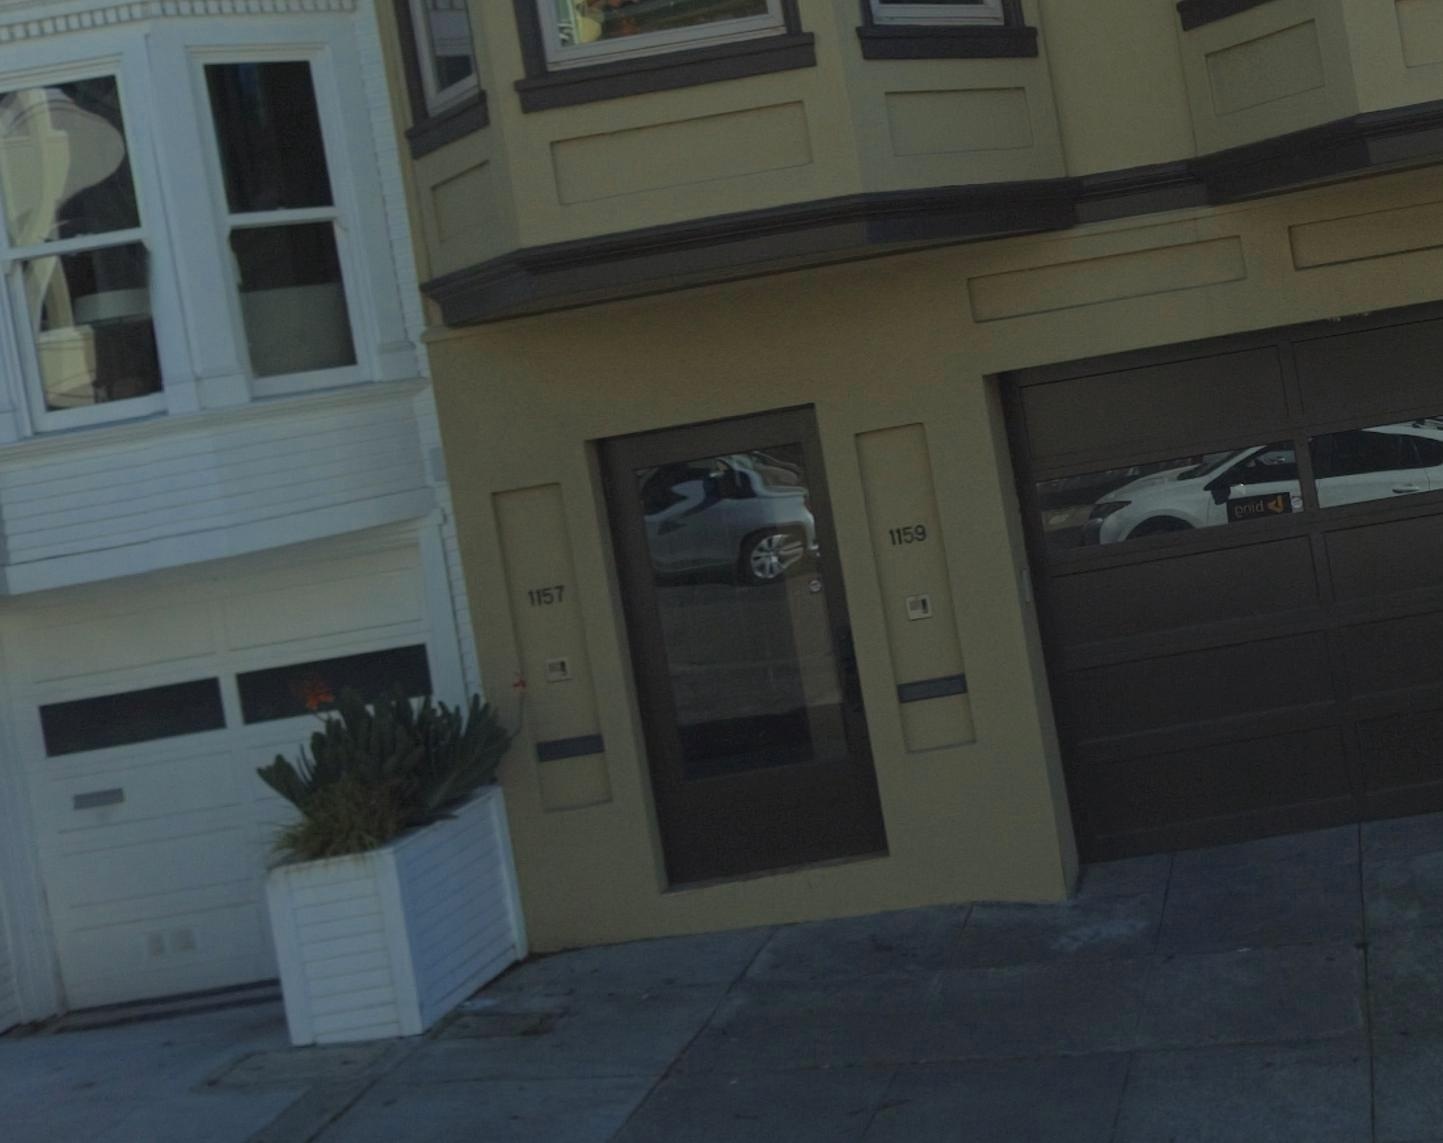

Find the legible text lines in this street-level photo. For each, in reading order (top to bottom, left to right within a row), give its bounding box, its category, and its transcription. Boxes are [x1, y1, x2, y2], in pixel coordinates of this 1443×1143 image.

[886, 522, 930, 548] StreetNumber: 1159
[525, 583, 566, 609] StreetNumber: 1157